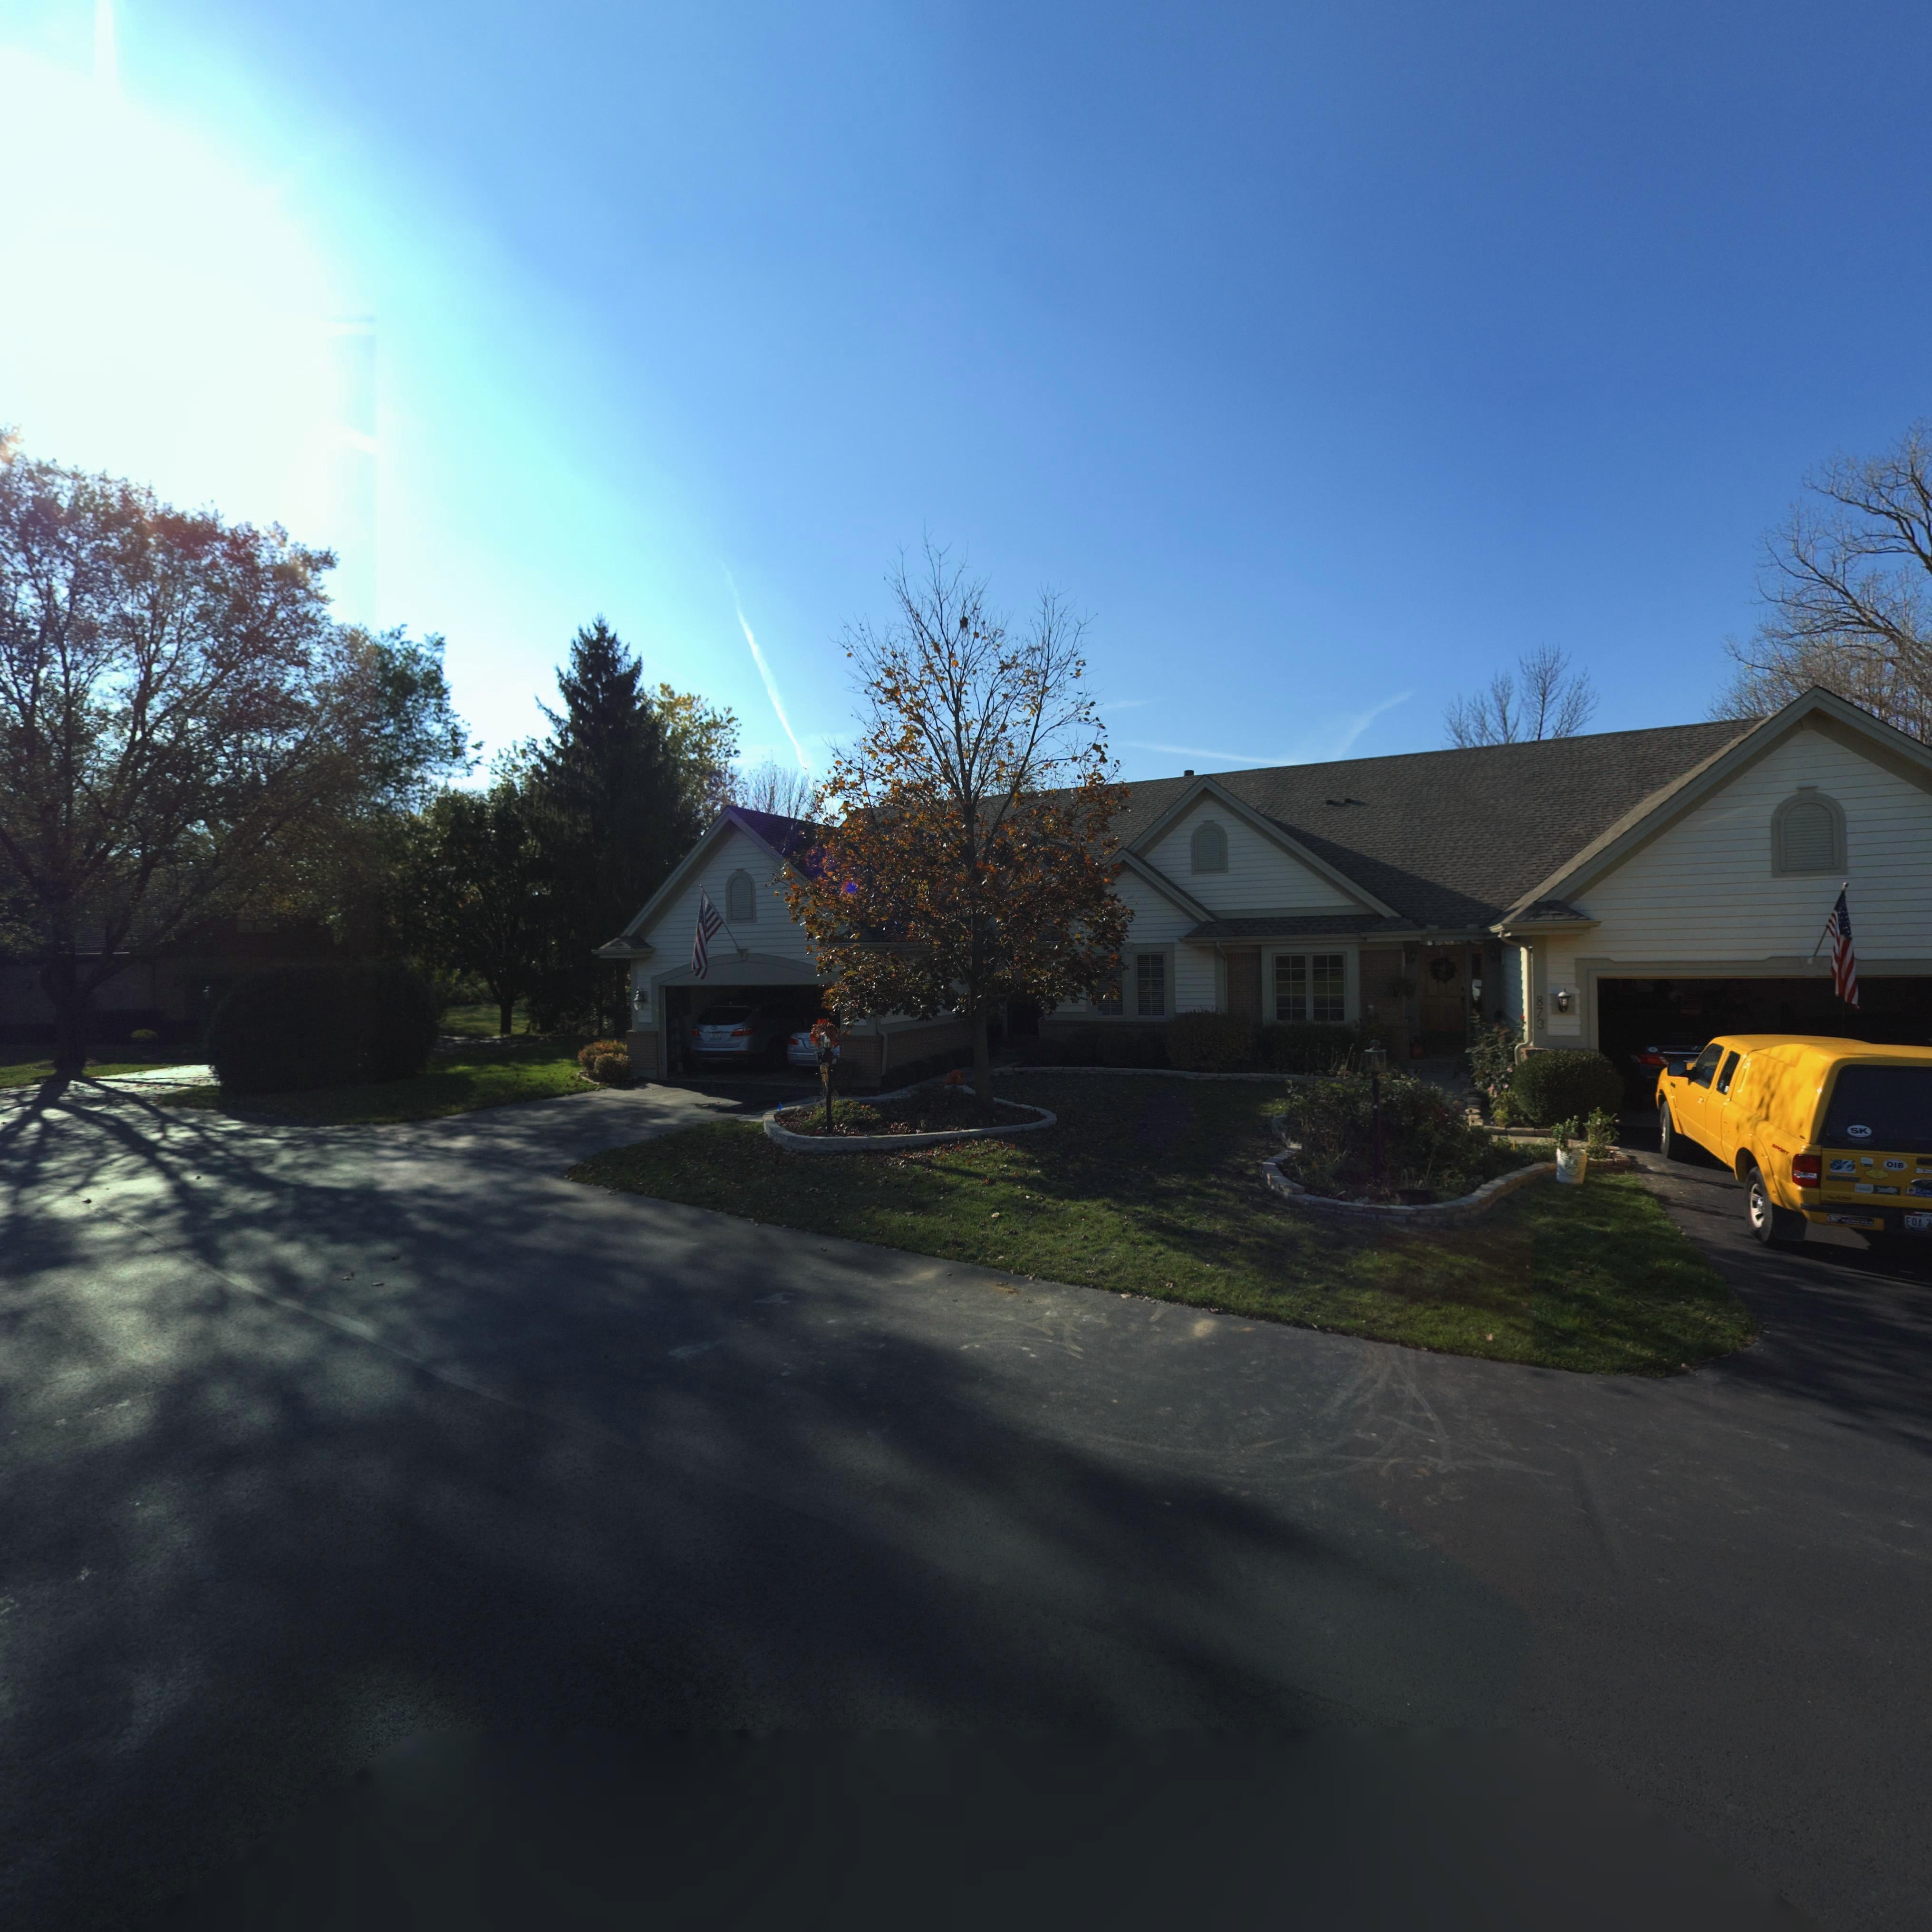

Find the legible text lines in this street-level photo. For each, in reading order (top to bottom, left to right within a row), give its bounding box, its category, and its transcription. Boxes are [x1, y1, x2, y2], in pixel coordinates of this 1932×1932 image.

[1535, 994, 1546, 1031] StreetNumber: 873